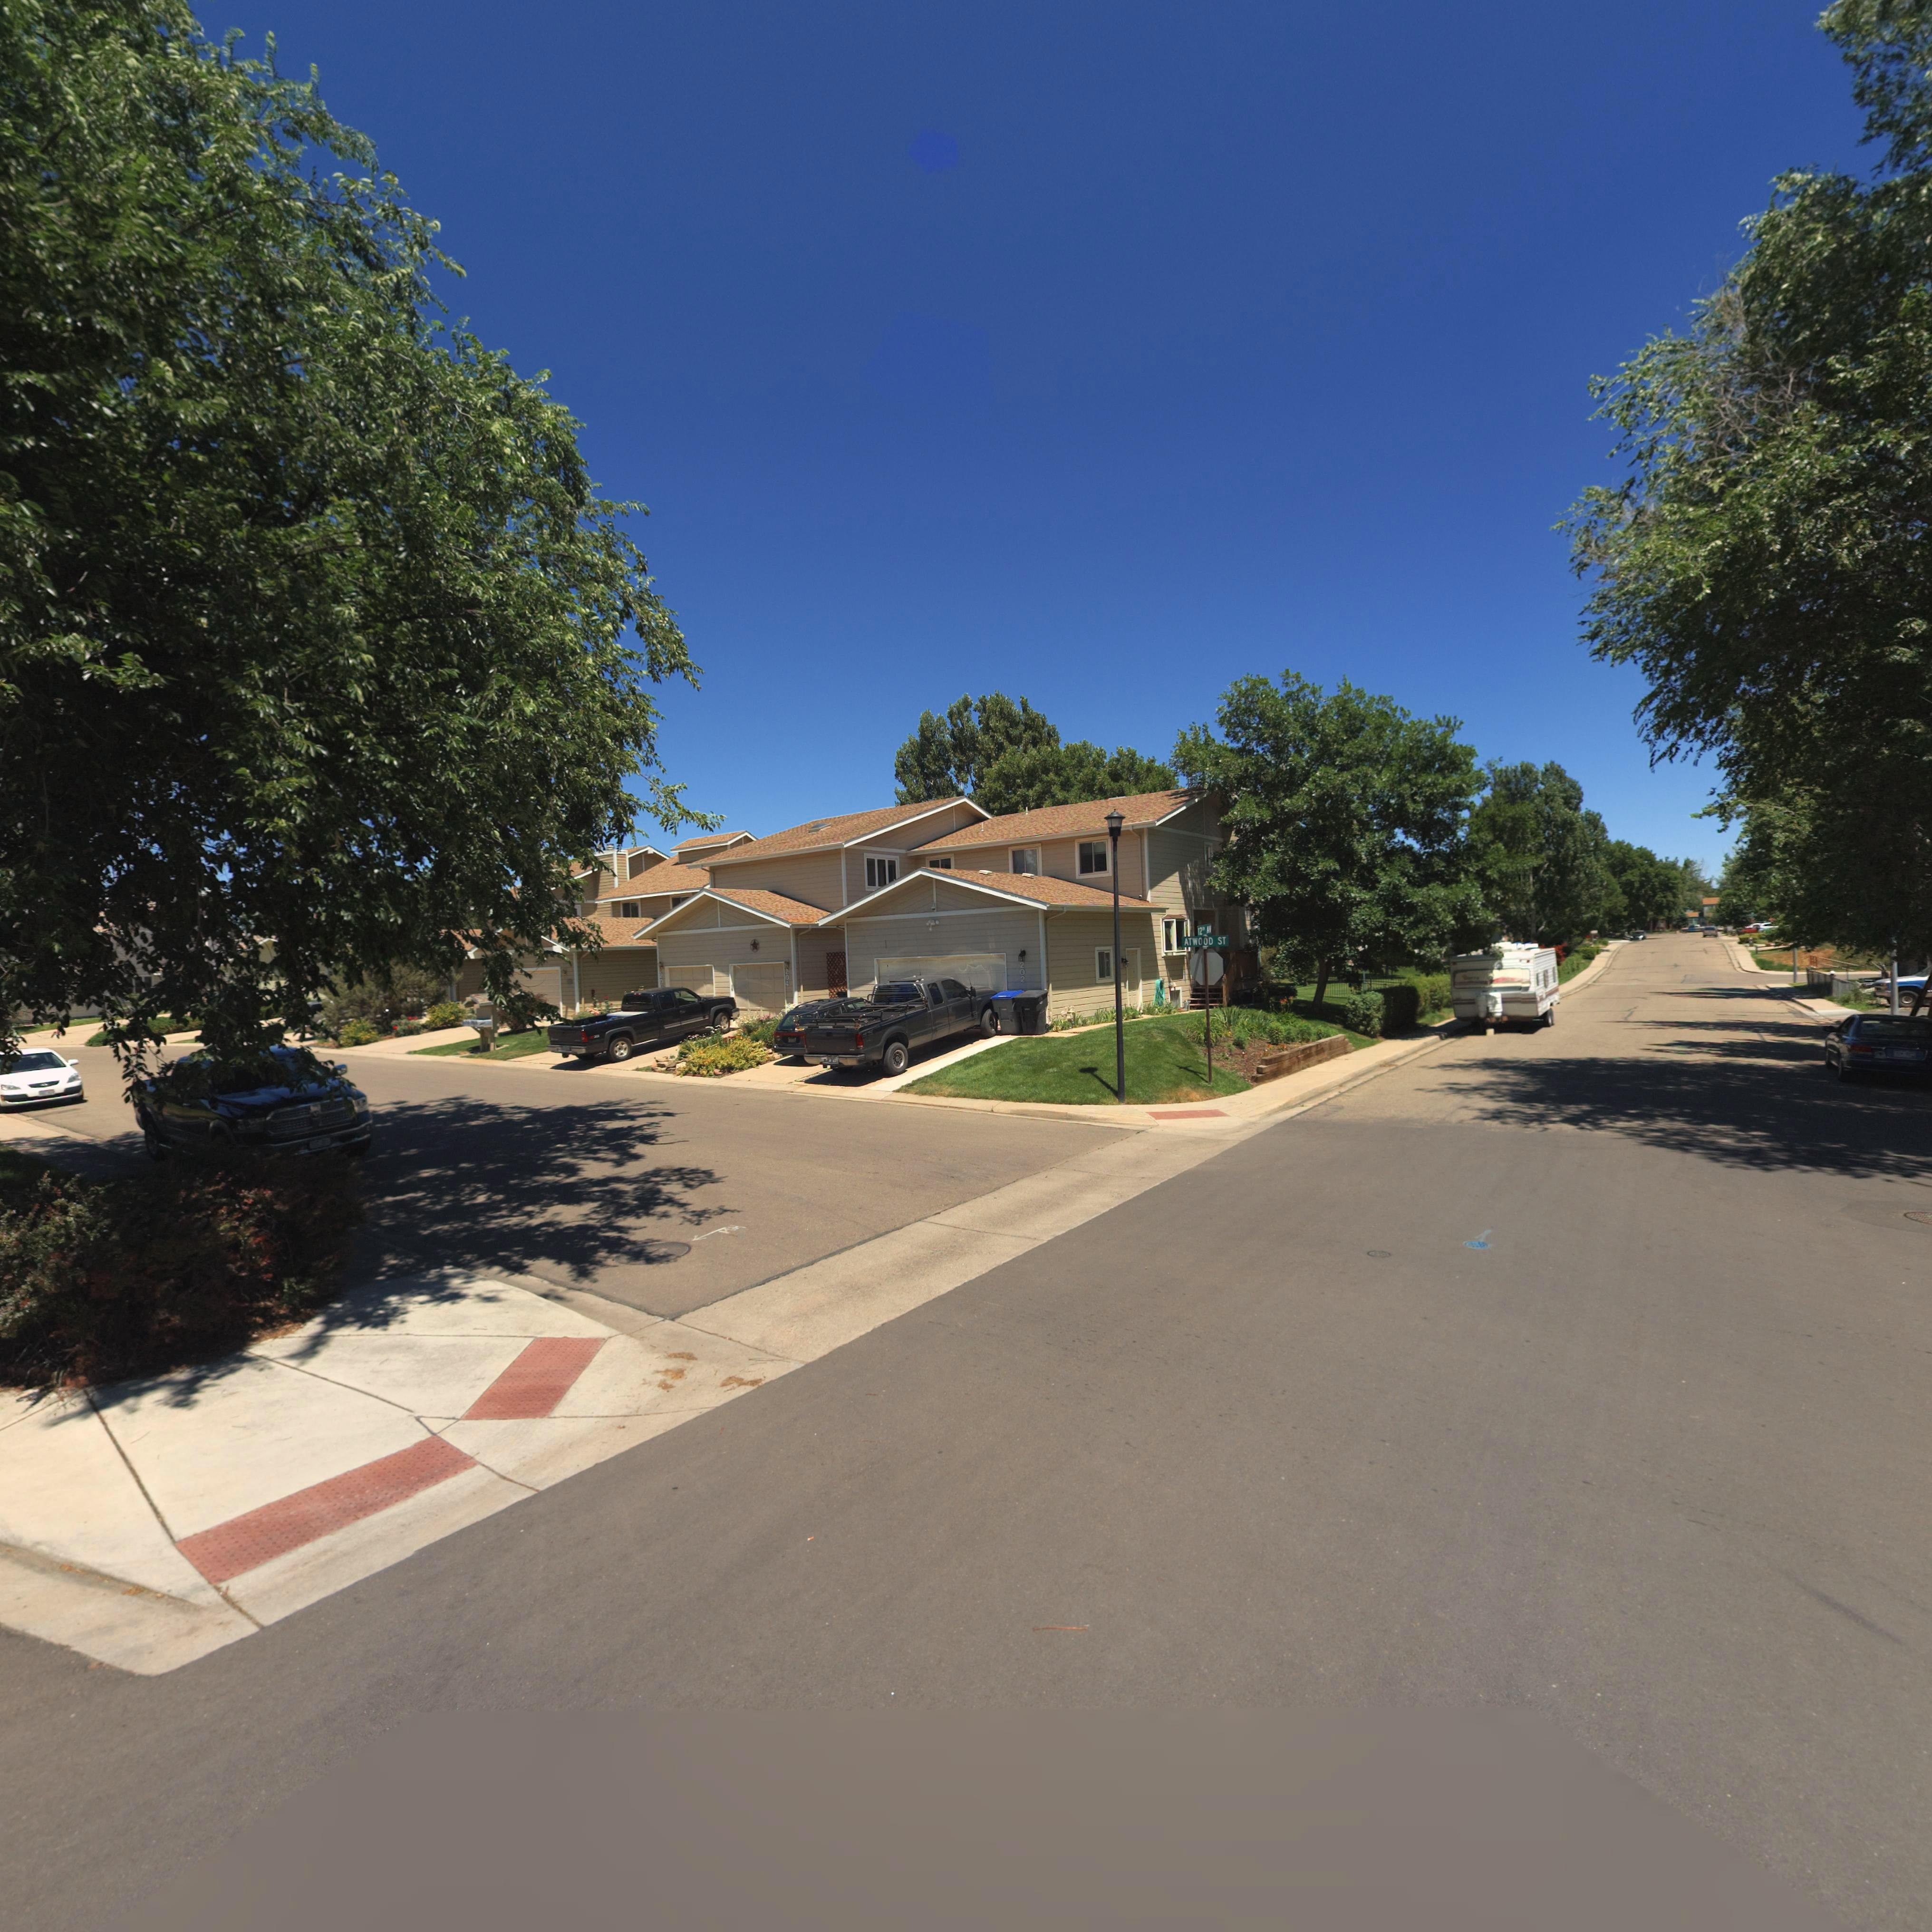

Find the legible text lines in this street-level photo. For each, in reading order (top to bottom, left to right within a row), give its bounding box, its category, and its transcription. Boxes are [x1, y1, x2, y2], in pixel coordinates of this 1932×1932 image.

[1197, 925, 1211, 935] StreetName: 12TH AV
[1184, 936, 1226, 946] StreetName: ATWOOD ST
[659, 973, 664, 987] StreetNumber: 20*
[785, 968, 789, 986] StreetNumber: 204
[1019, 962, 1025, 983] StreetNumber: 202